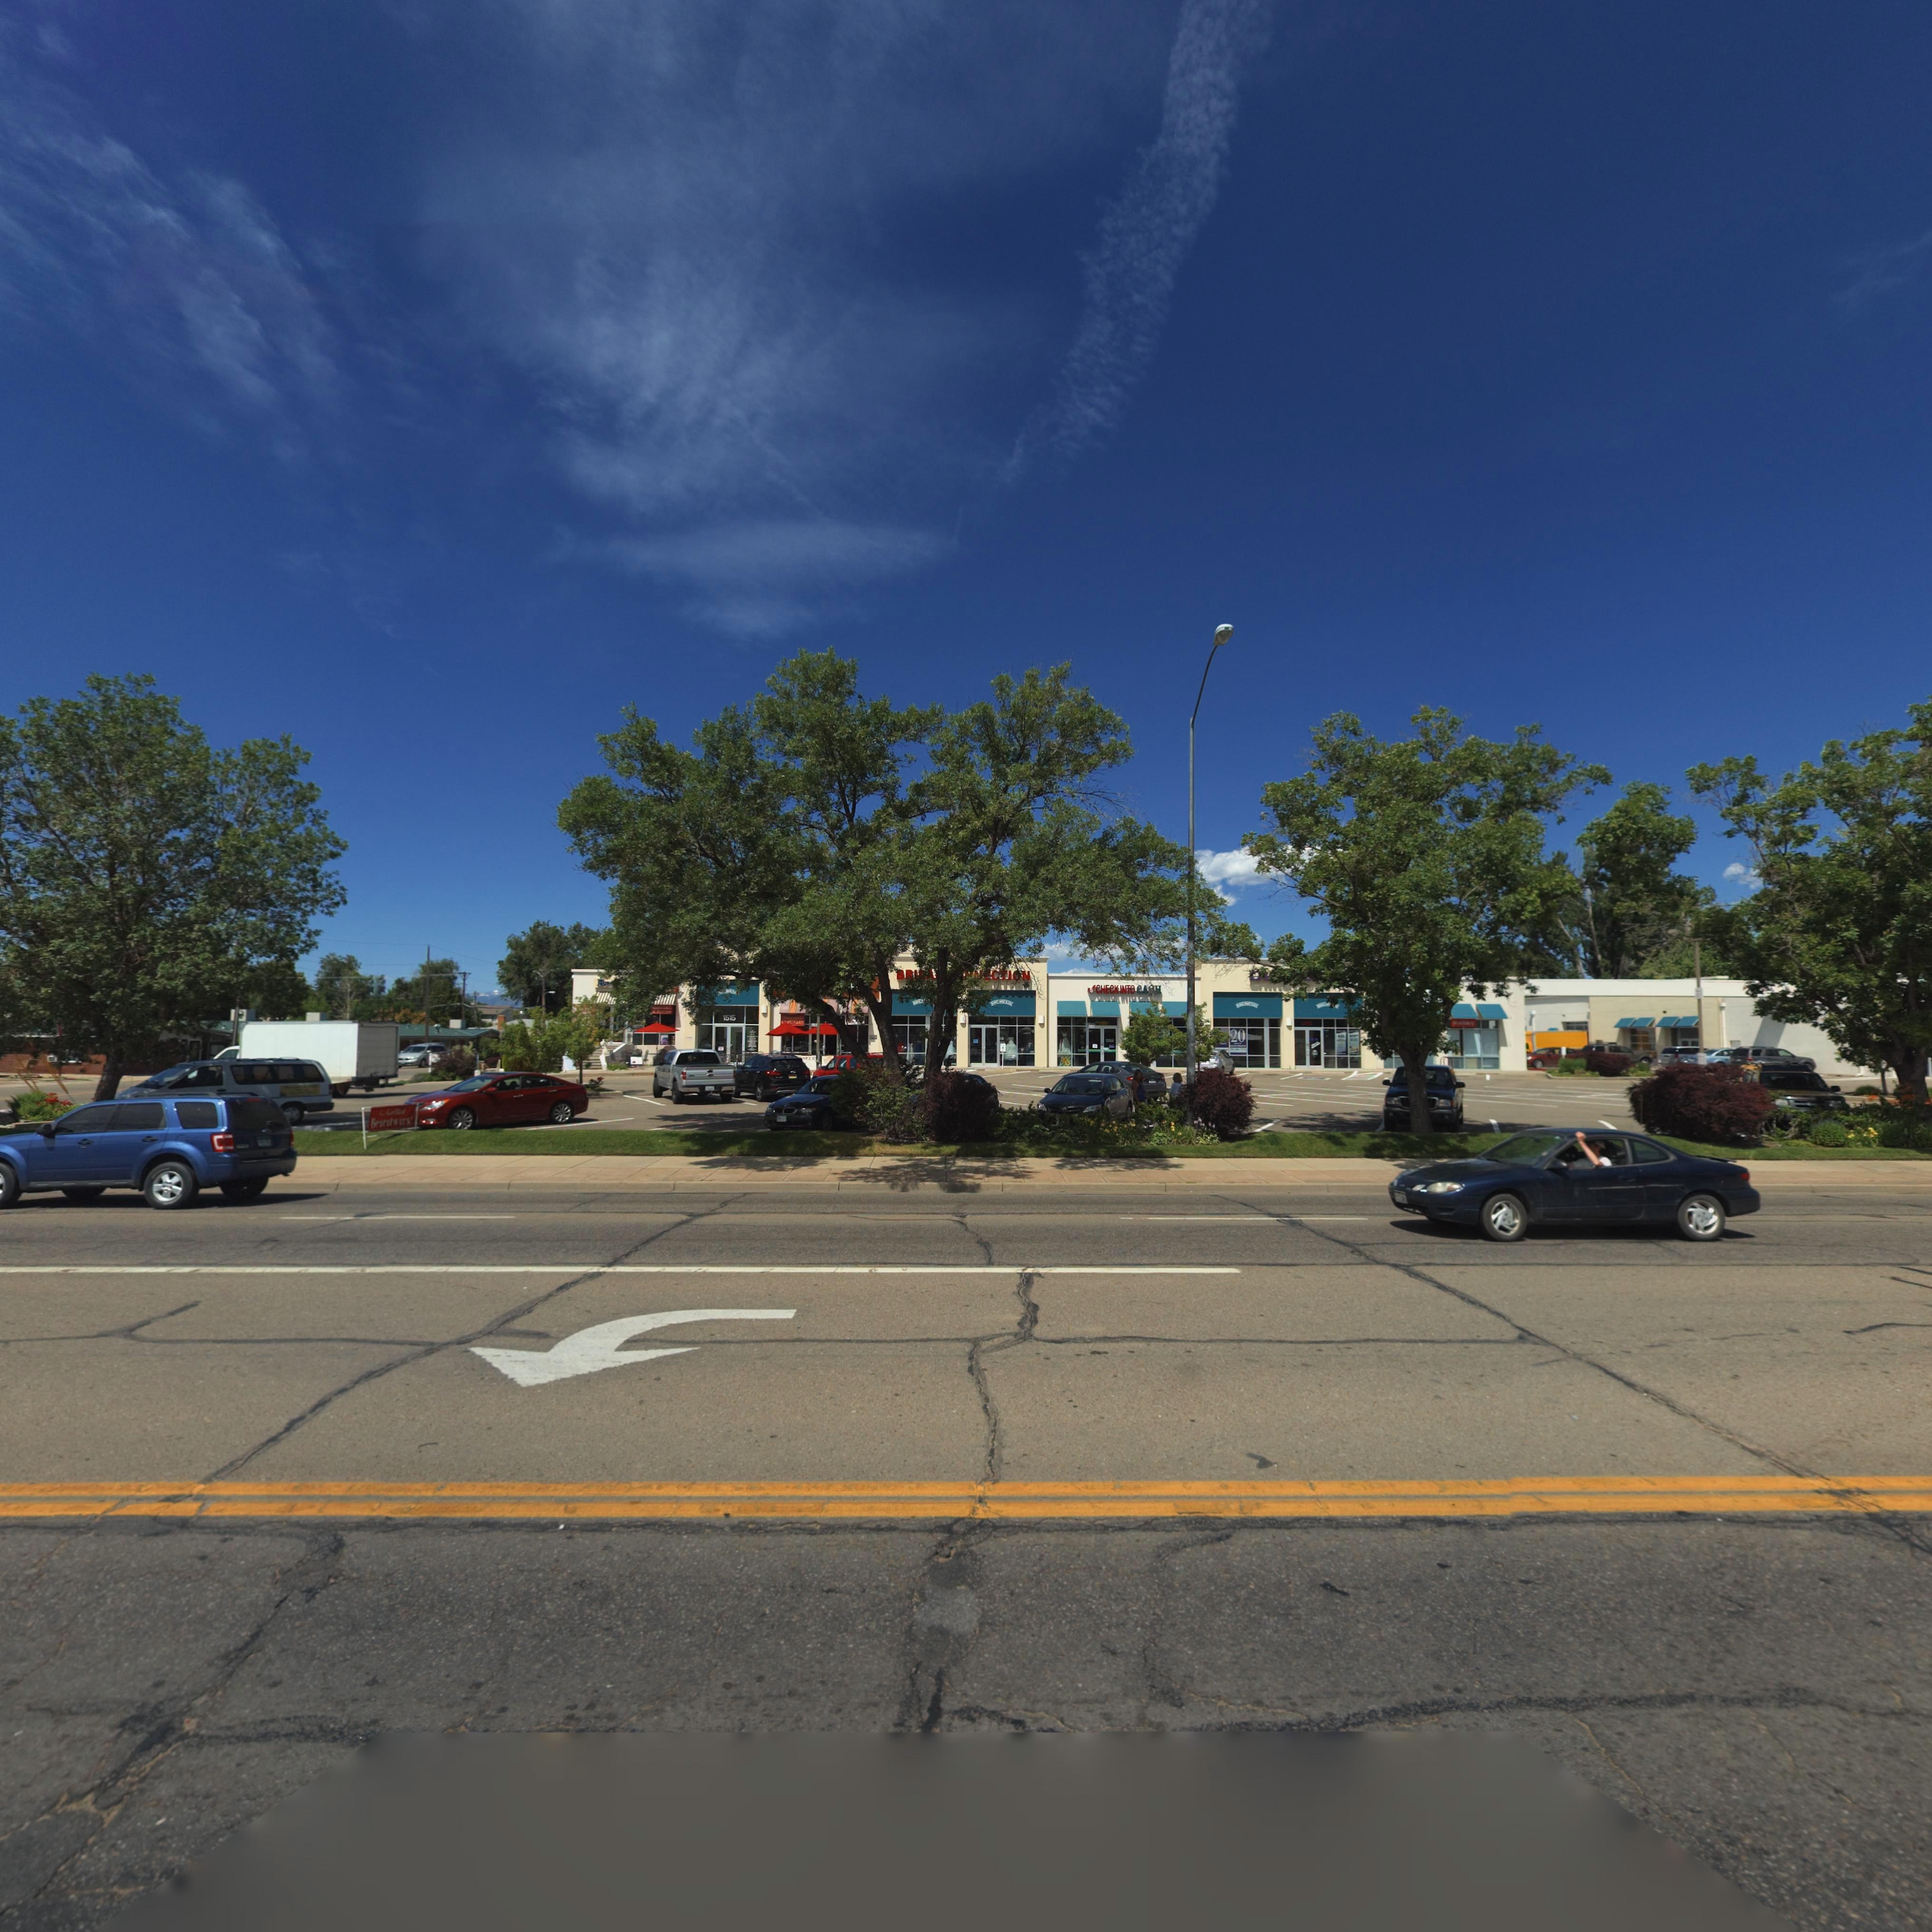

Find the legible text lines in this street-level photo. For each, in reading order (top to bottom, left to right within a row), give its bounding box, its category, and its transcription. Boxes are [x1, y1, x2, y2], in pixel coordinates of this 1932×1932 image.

[895, 968, 1032, 981] BusinessName: BRI*A* ***NECTION
[597, 978, 609, 986] BusinessName: Br
[1095, 984, 1162, 995] BusinessName: CHECK INTO C***
[723, 1014, 736, 1021] StreetNumber: 1515